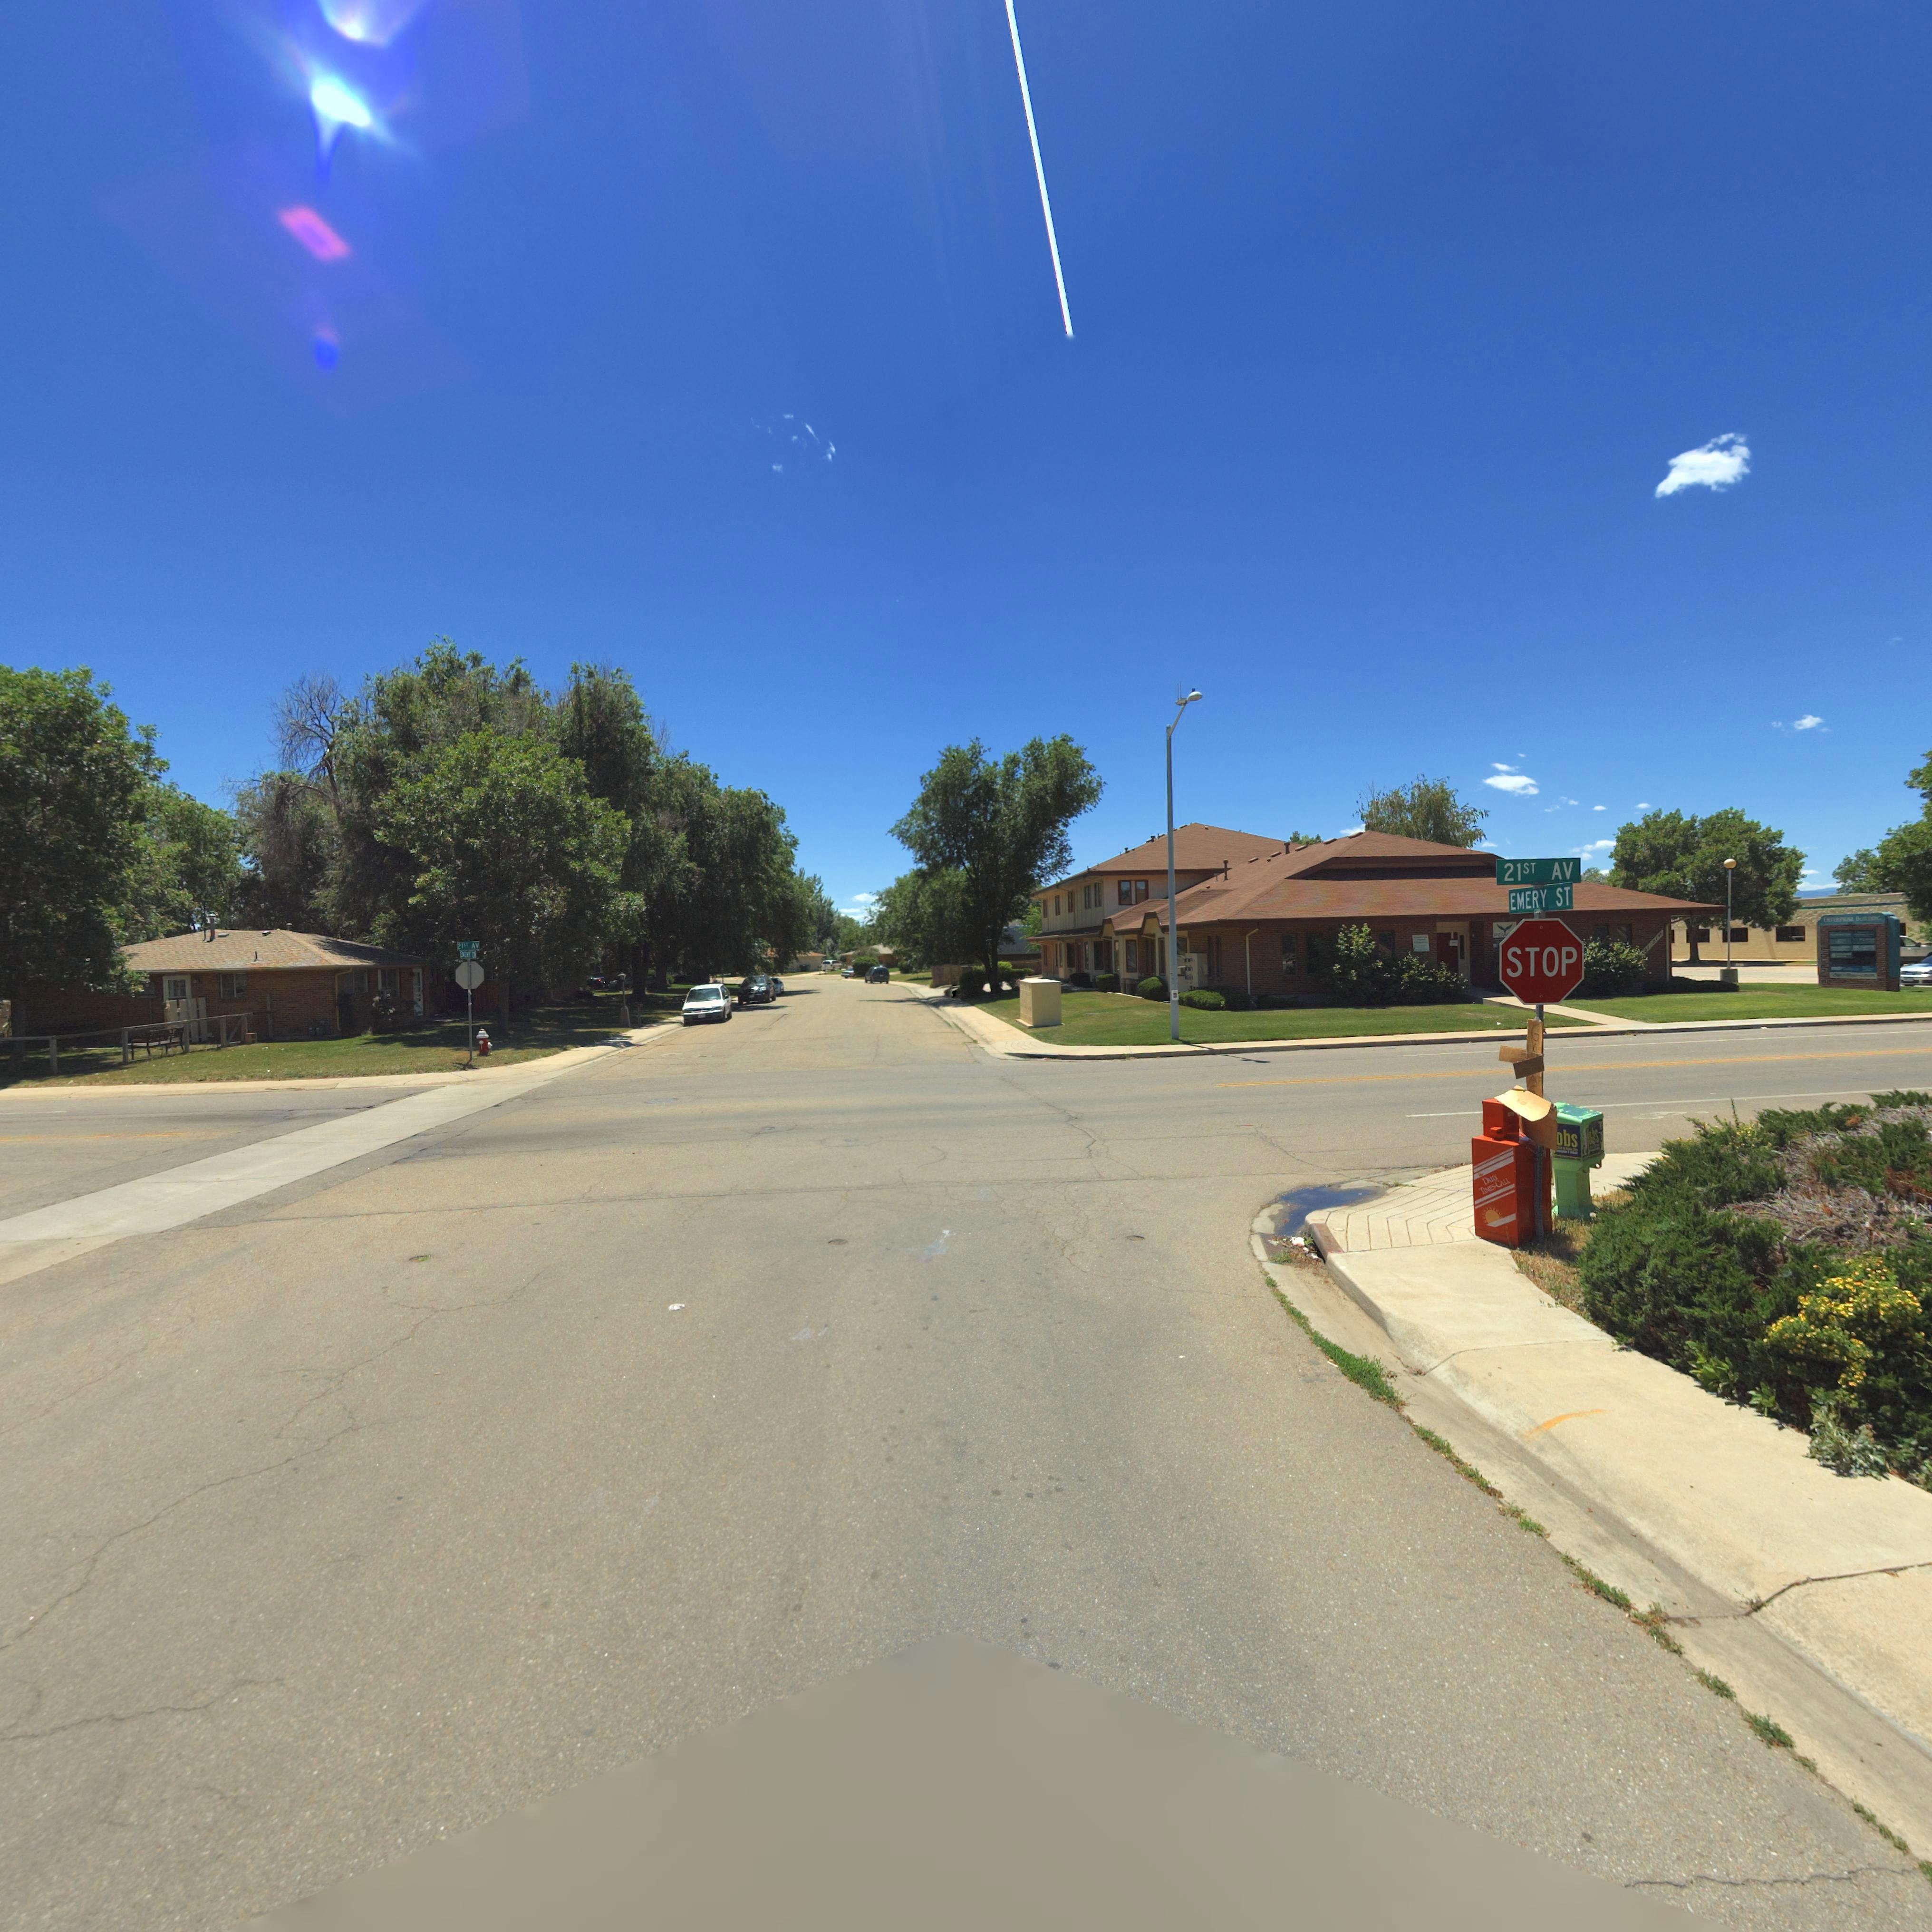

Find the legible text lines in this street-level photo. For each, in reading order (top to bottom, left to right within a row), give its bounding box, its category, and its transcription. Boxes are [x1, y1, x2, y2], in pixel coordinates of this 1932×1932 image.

[1499, 859, 1577, 884] StreetName: 21ST AV
[1508, 885, 1572, 912] StreetName: EMERY ST
[459, 951, 476, 958] StreetName: EVERY **
[456, 941, 480, 950] StreetName: 21ST AV